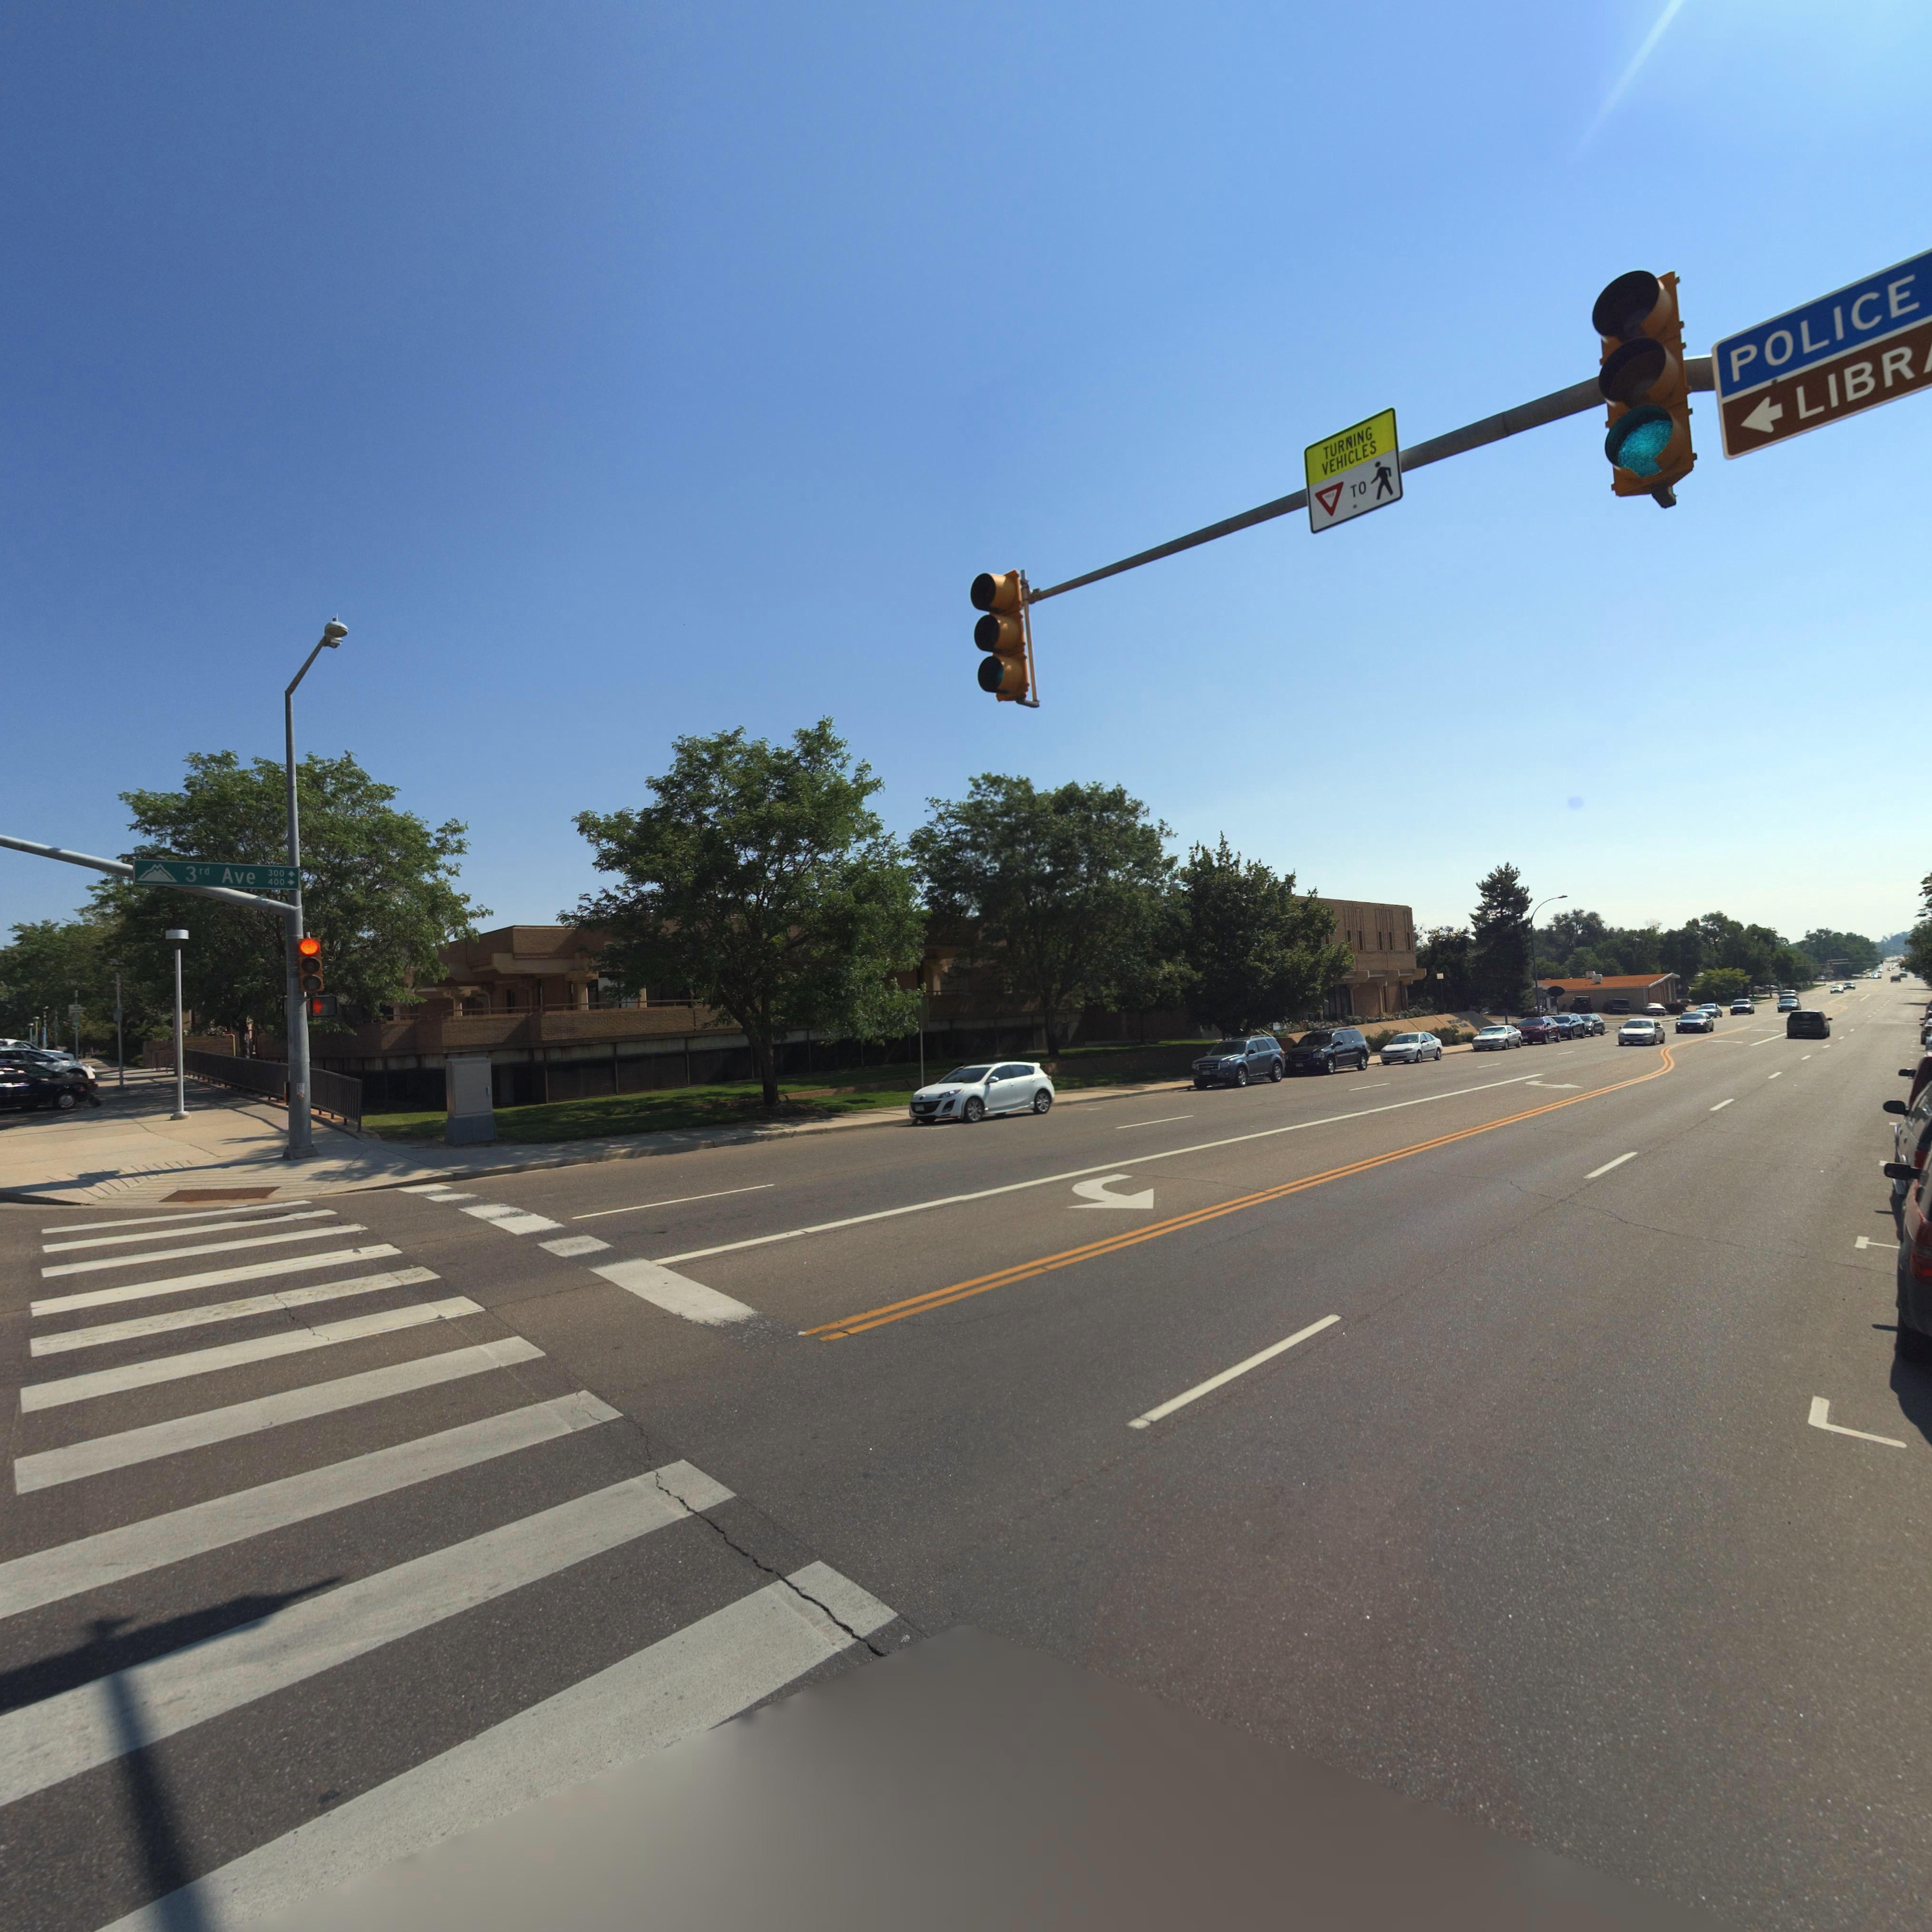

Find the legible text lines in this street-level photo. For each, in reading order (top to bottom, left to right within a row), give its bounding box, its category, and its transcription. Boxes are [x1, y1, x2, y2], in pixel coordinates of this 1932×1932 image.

[185, 865, 255, 885] StreetName: 3rd Ave
[268, 869, 284, 877] StreetNumberRange: 300
[268, 878, 296, 886] StreetNumberRange: 400 ->